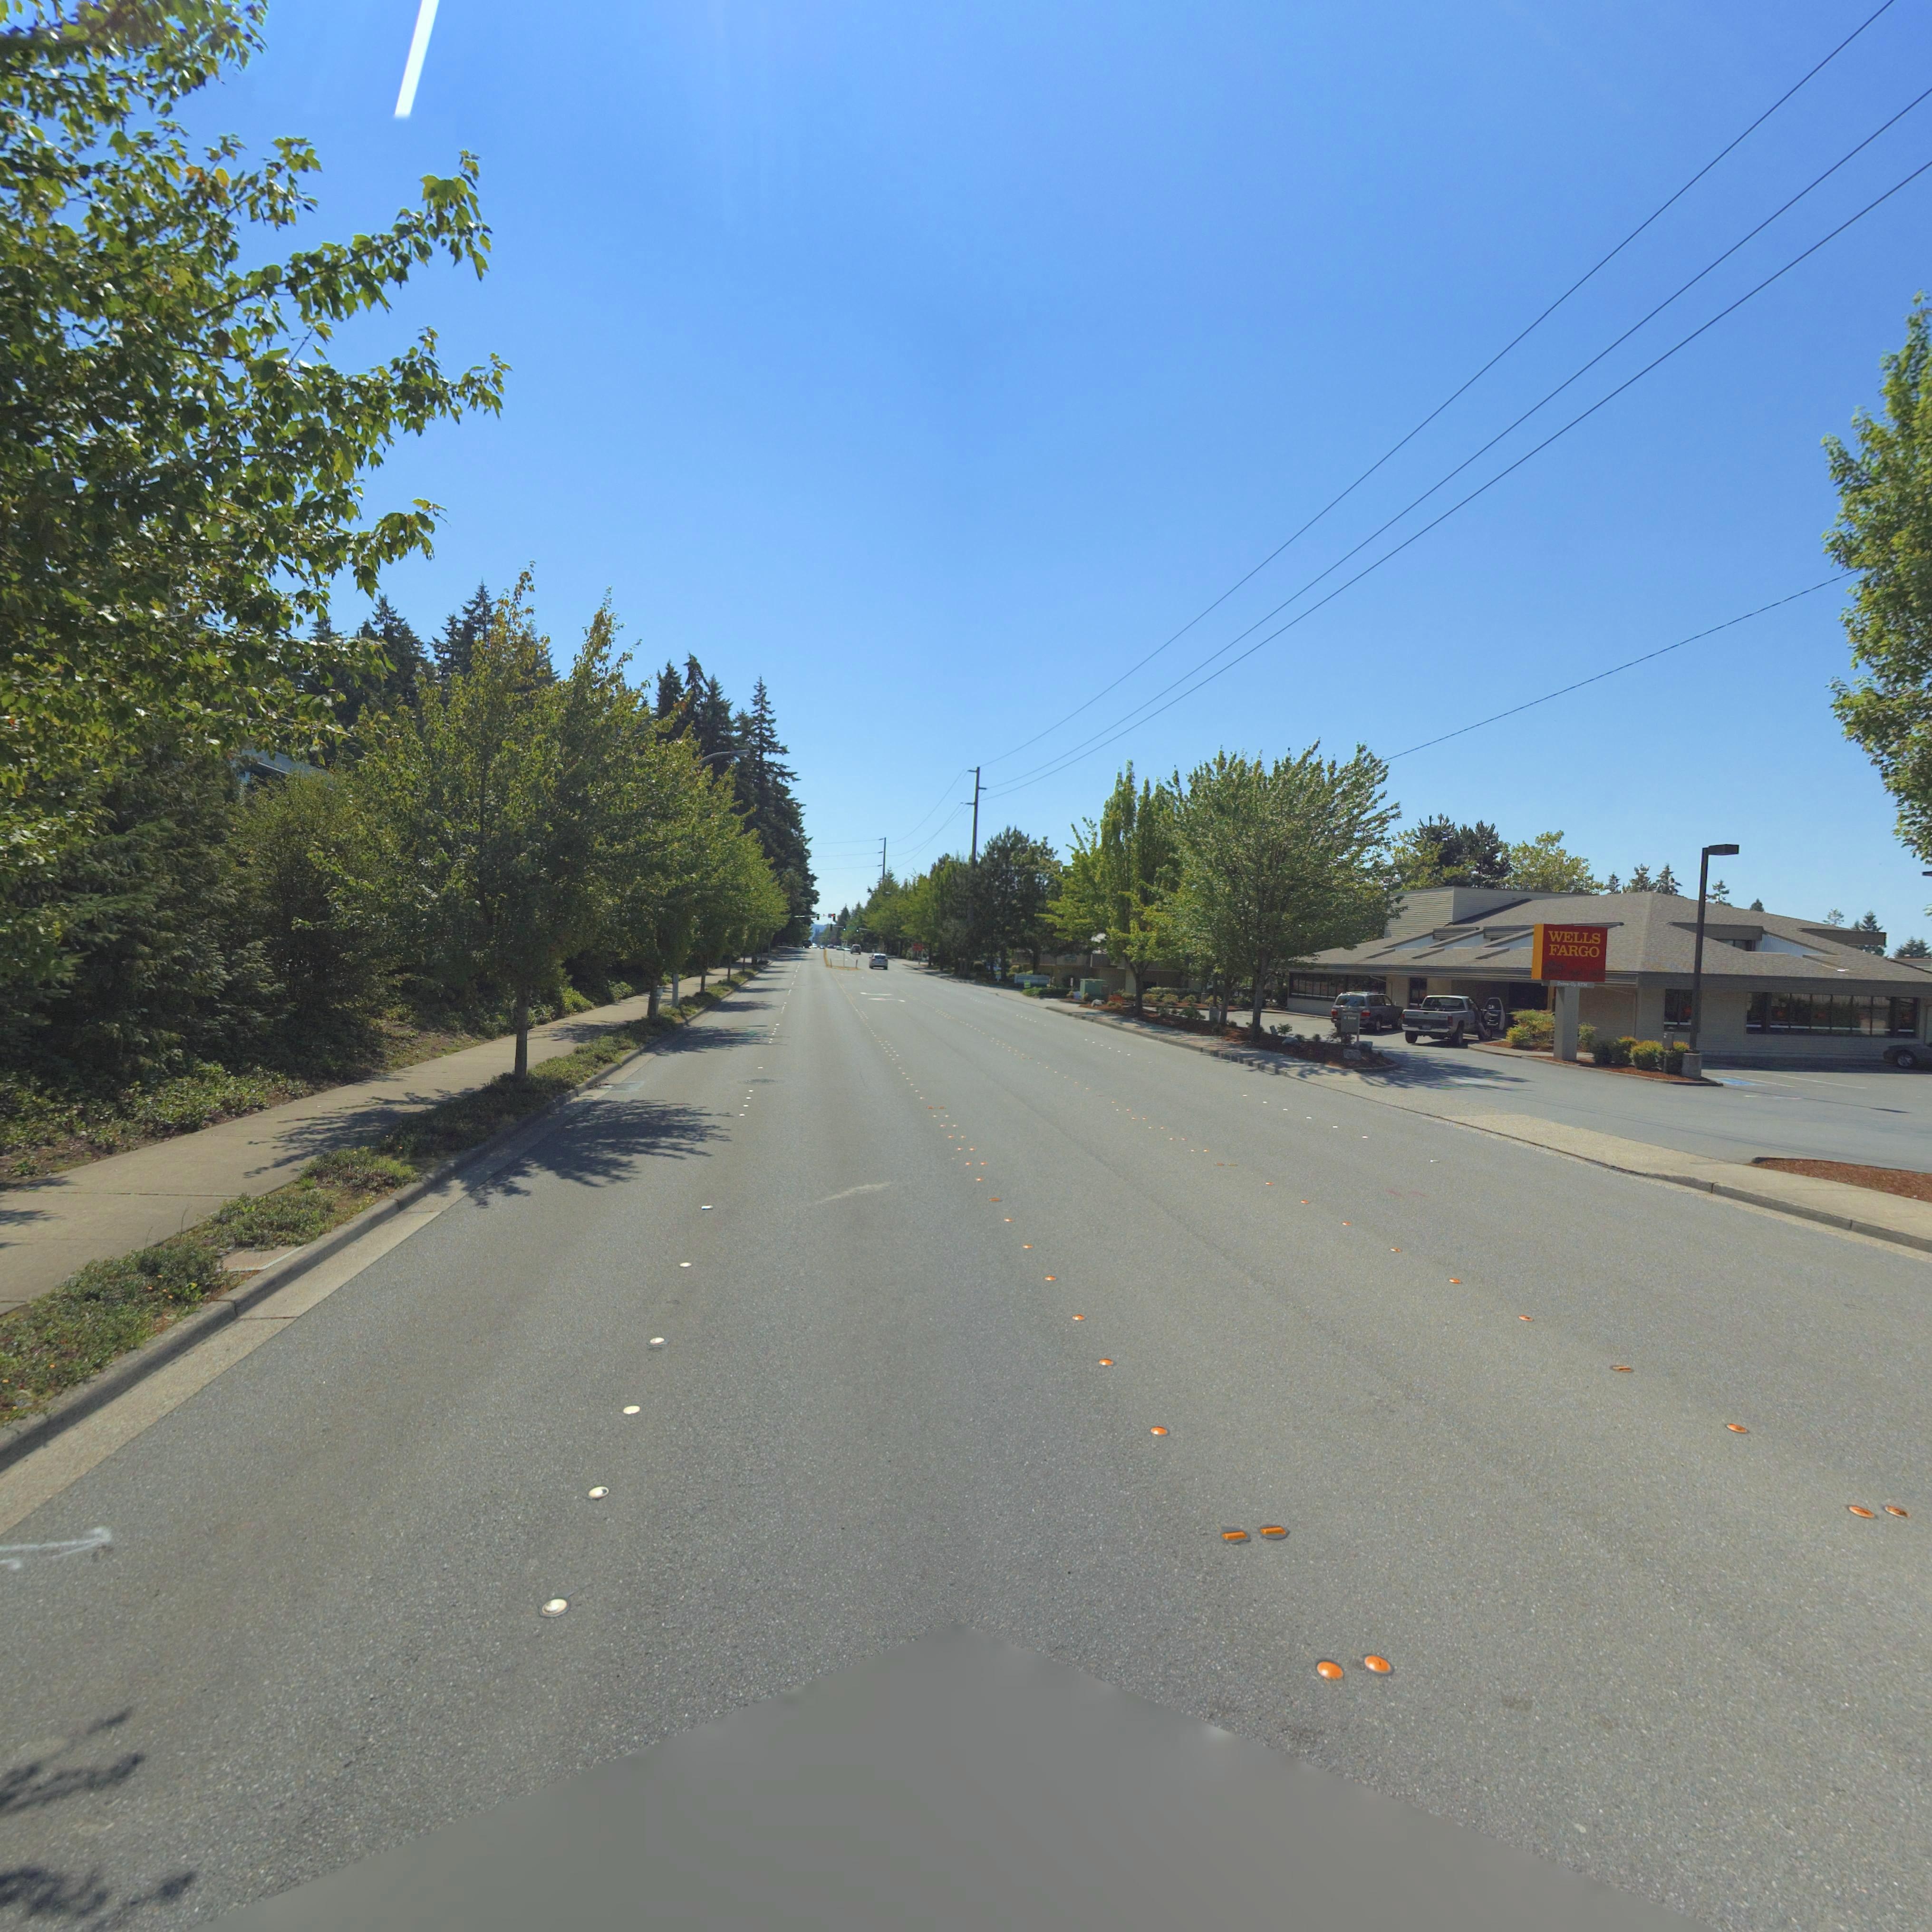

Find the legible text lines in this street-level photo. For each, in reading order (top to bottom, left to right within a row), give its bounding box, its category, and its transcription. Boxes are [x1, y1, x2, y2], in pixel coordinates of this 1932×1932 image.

[1548, 931, 1604, 944] BusinessName: WELLS
[1548, 943, 1600, 958] BusinessName: FARGO